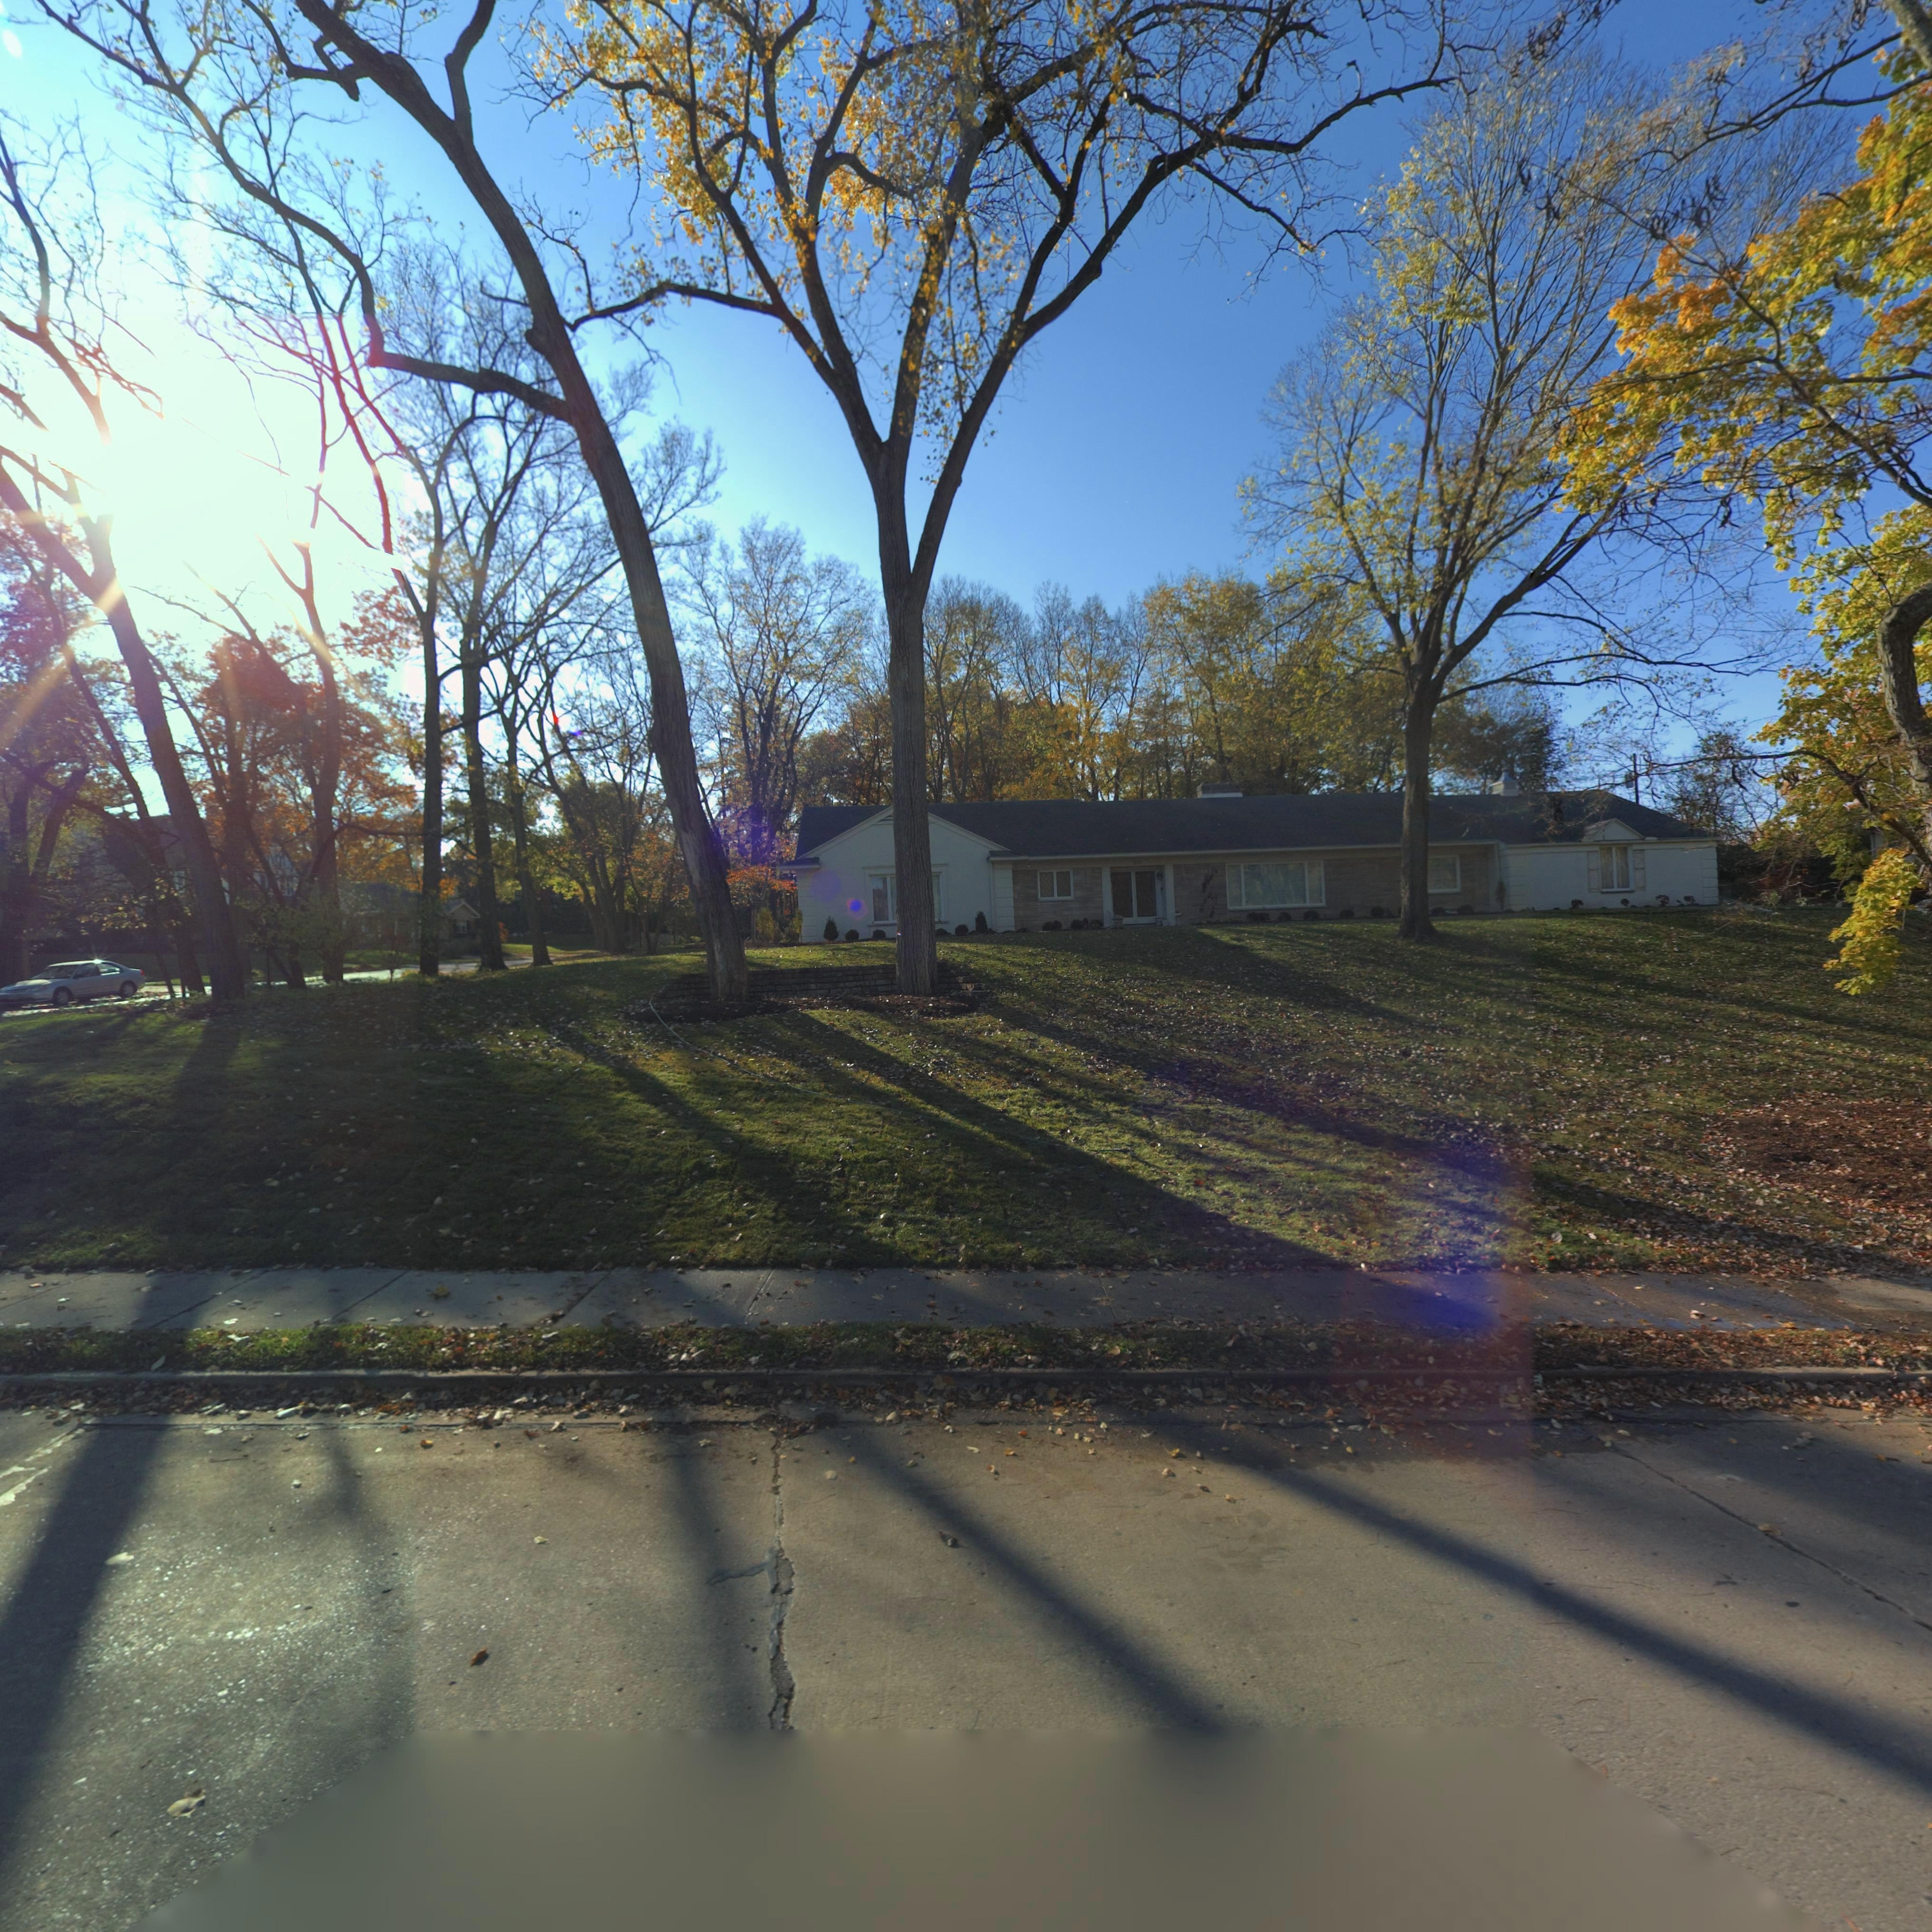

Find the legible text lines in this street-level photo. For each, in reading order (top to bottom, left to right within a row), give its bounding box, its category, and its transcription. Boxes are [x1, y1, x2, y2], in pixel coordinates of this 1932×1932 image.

[1132, 860, 1143, 865] StreetNumber: **5